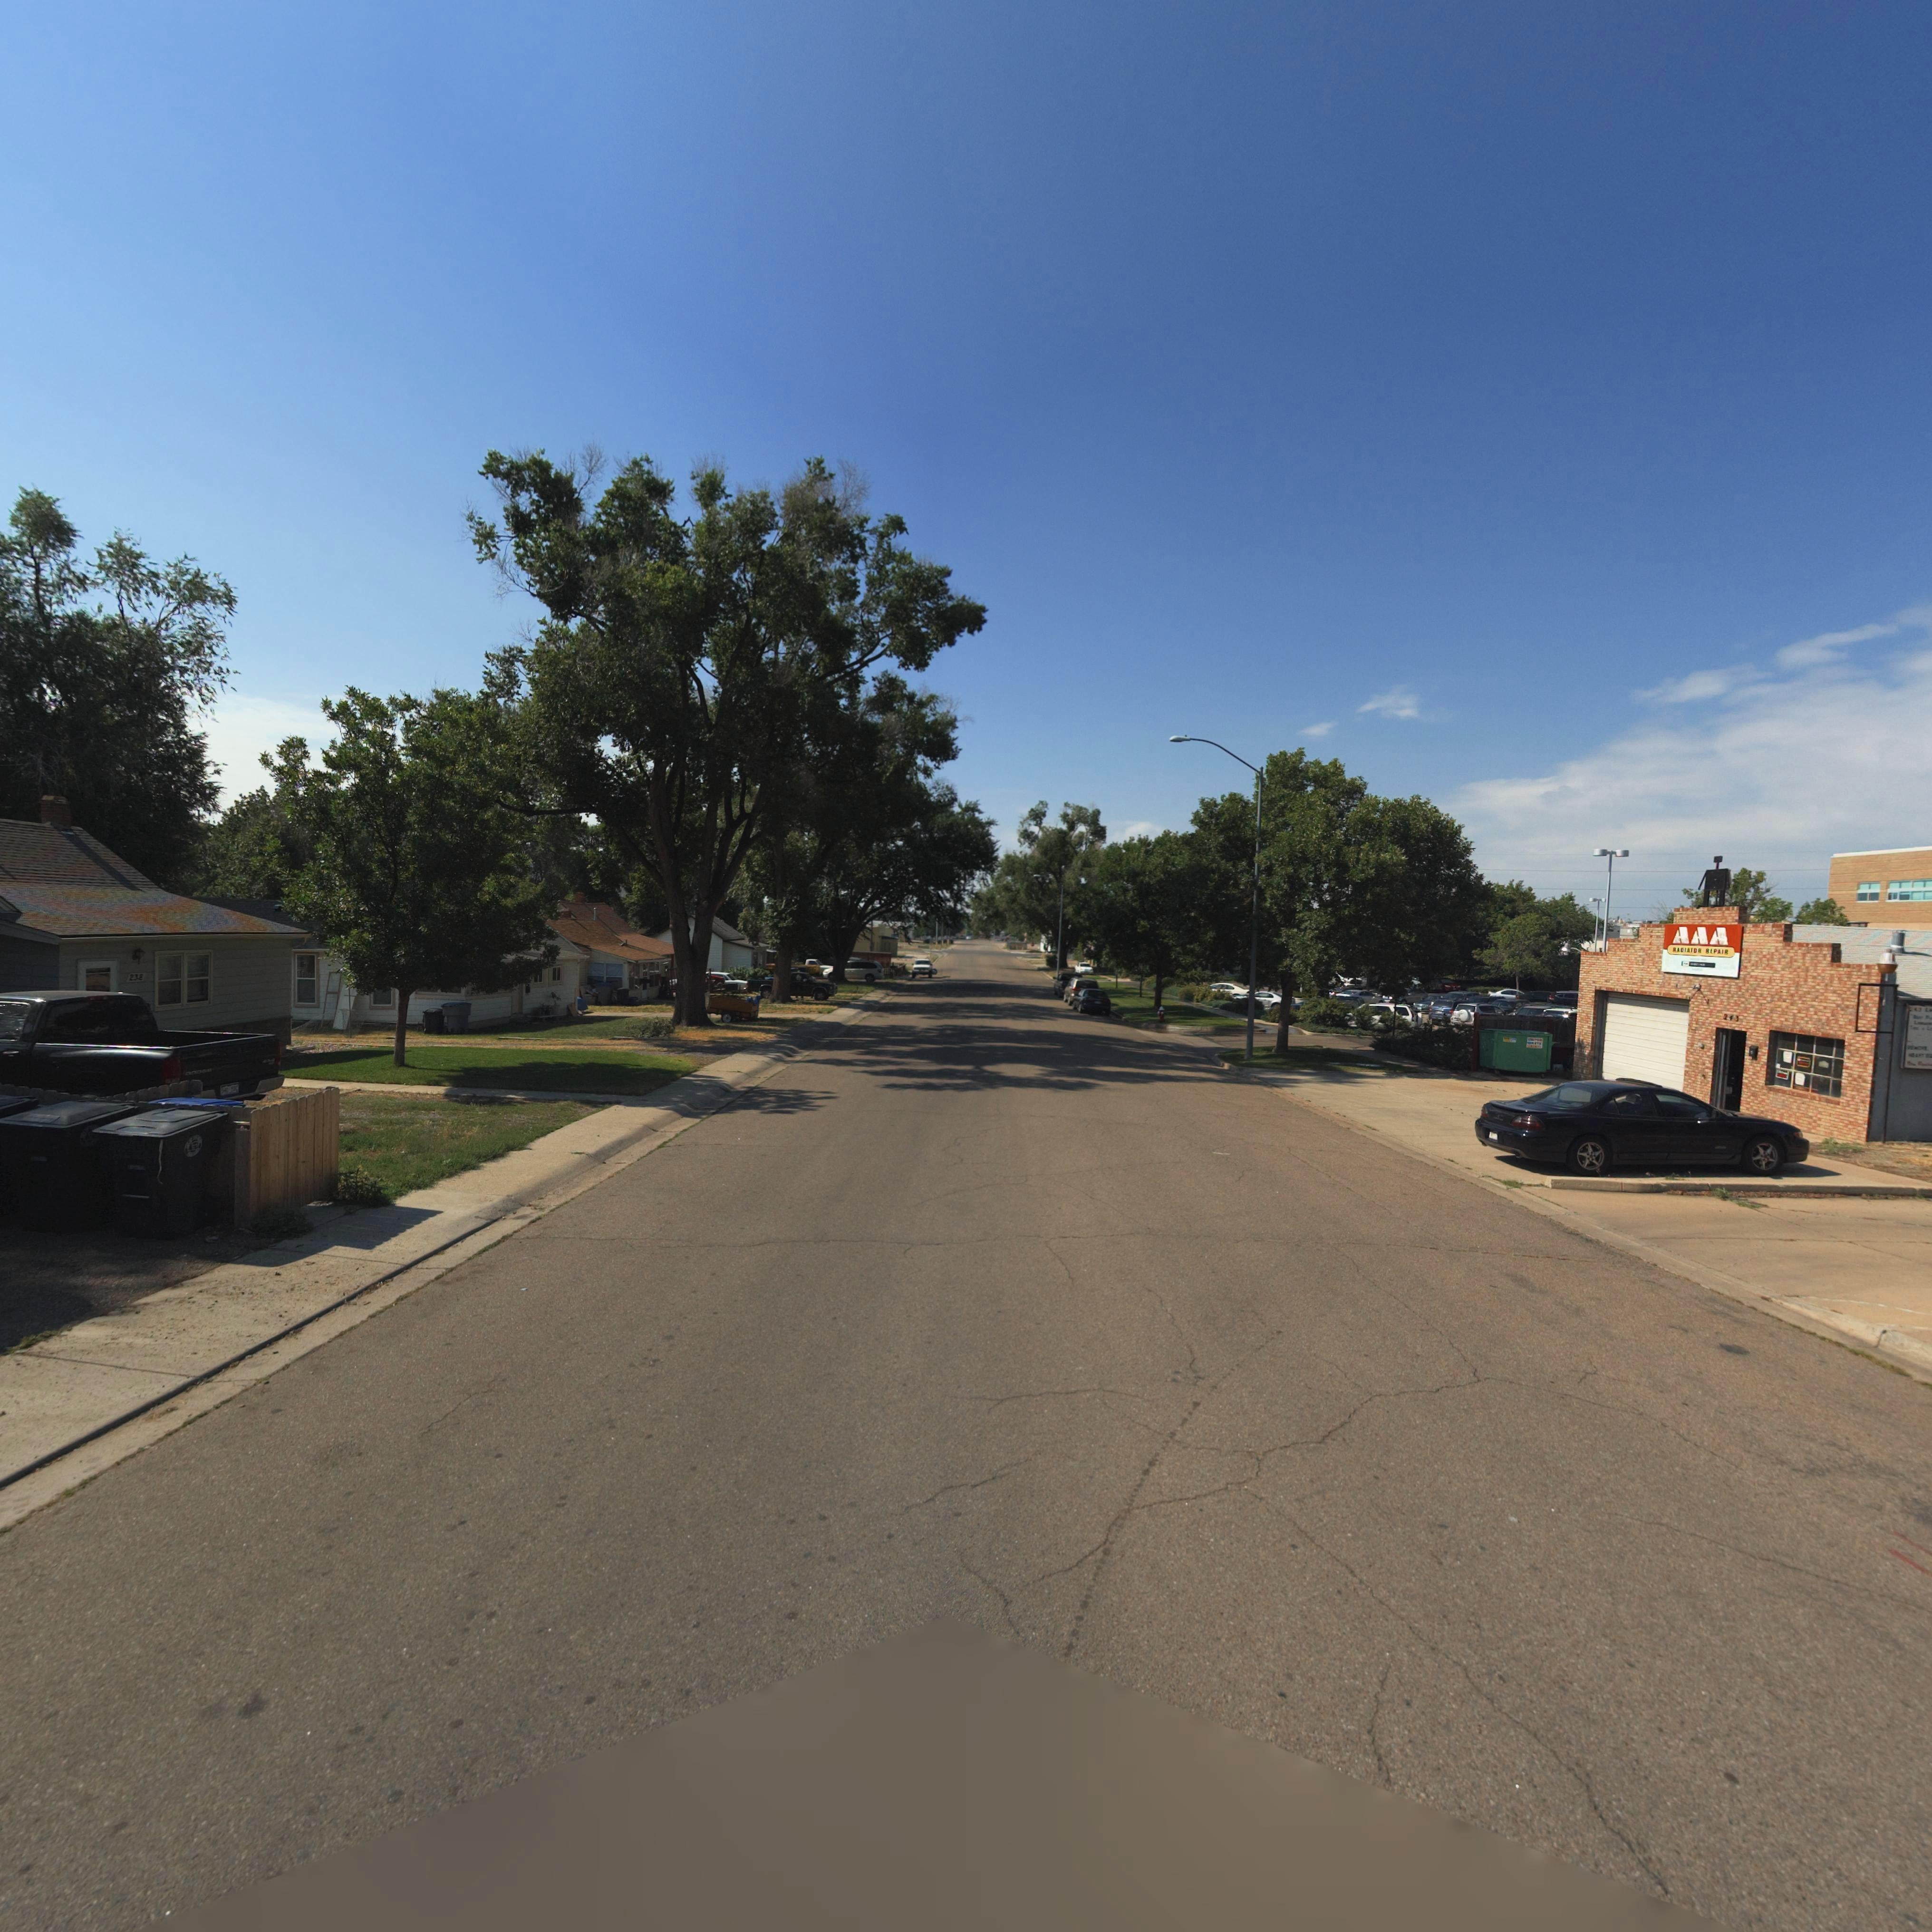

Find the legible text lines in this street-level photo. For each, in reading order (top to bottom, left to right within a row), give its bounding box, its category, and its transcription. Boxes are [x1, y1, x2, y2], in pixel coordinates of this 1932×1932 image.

[1672, 926, 1729, 945] BusinessName: AAA
[1672, 947, 1728, 955] BusinessName: R**IAT*R **PAIR
[129, 974, 143, 980] StreetNumber: 238
[1723, 1013, 1739, 1022] StreetNumber: 243